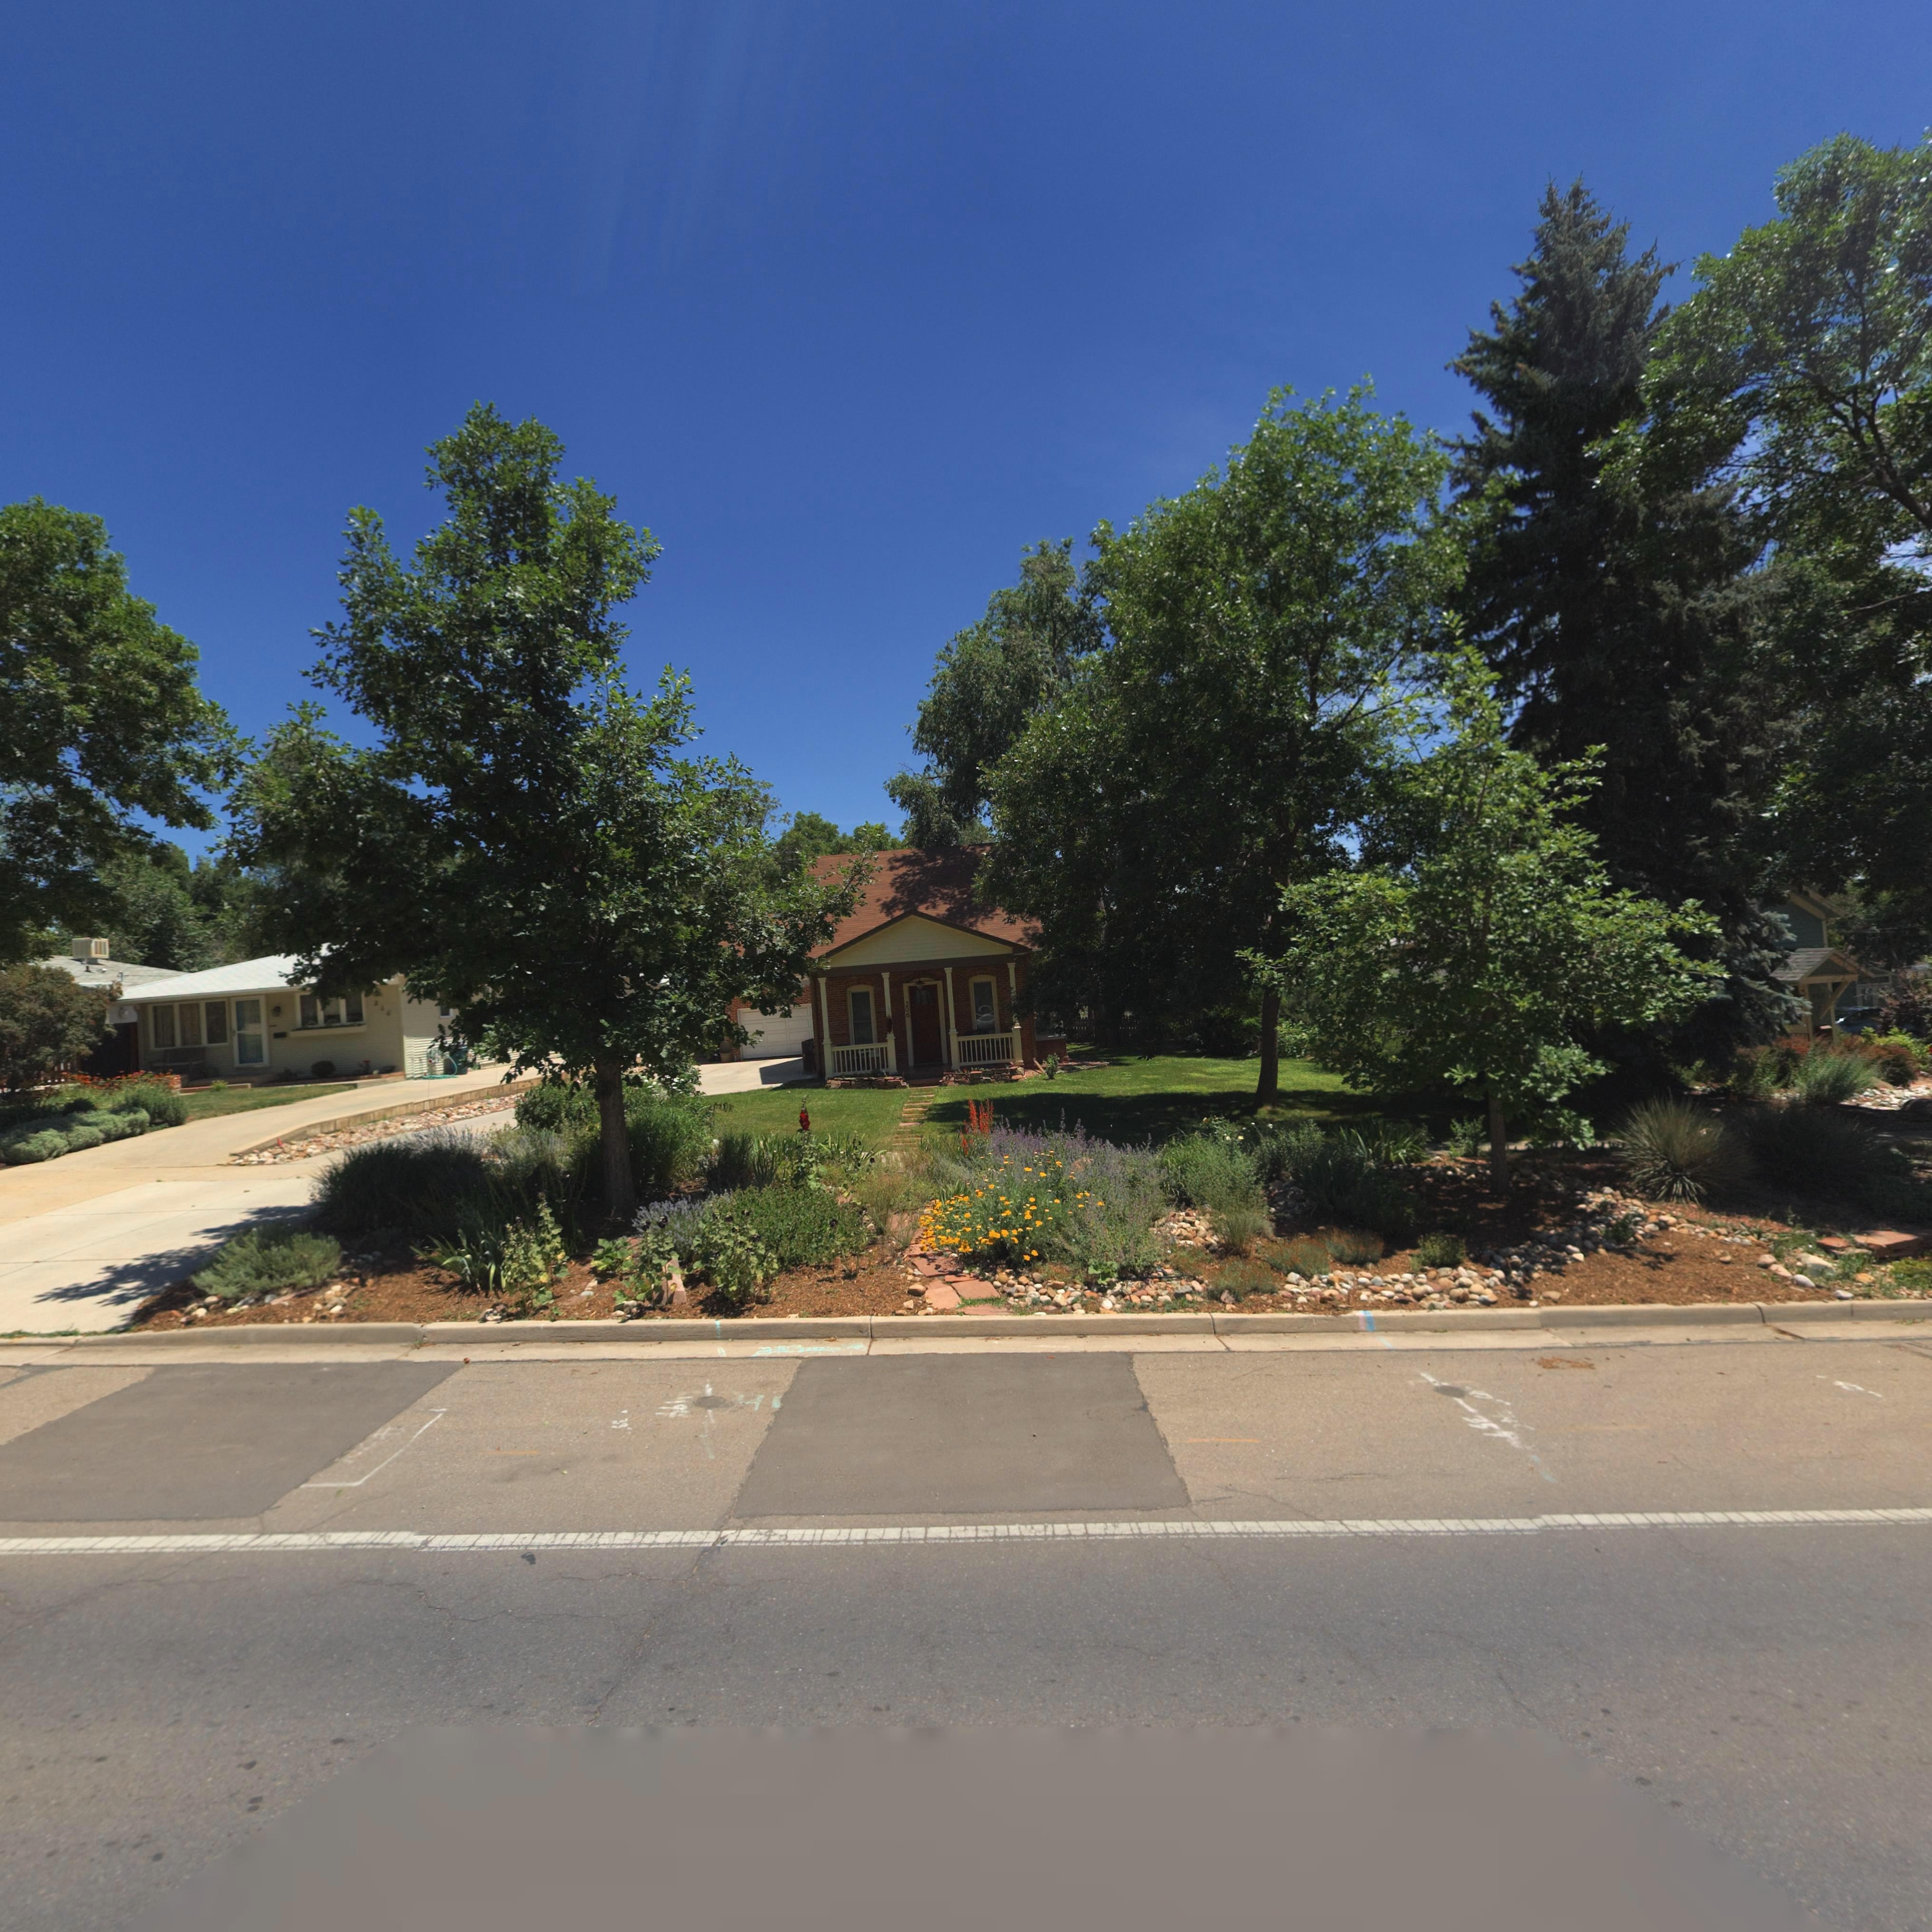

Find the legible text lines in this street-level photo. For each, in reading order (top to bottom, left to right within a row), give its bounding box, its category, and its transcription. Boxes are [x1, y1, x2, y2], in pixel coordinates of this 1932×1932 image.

[1810, 992, 1826, 999] StreetNumber: *5*
[373, 999, 392, 1017] StreetNumber: 2*6
[904, 1000, 909, 1018] StreetNumber: 206